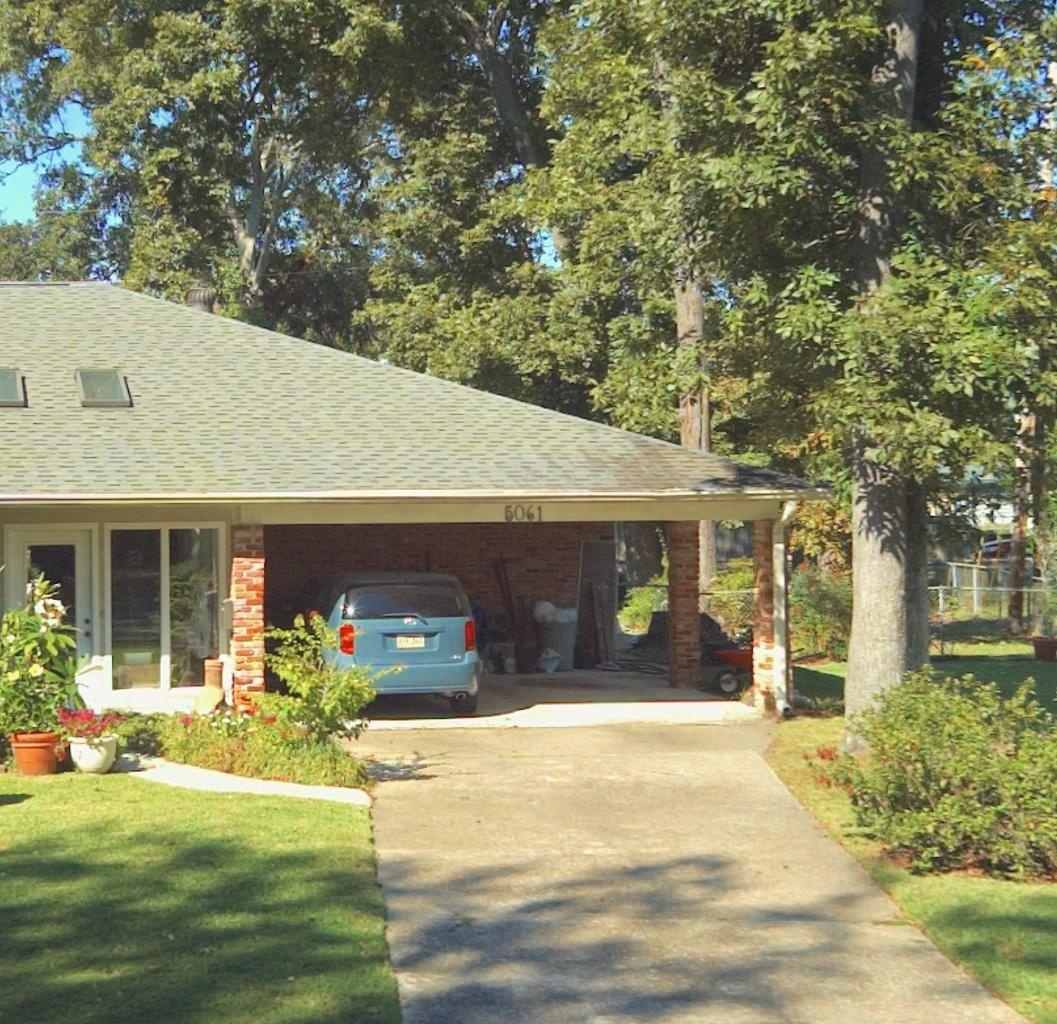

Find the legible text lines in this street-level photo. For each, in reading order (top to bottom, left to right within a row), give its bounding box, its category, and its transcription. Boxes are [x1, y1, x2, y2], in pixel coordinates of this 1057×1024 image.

[504, 504, 543, 522] StreetNumber: 5061